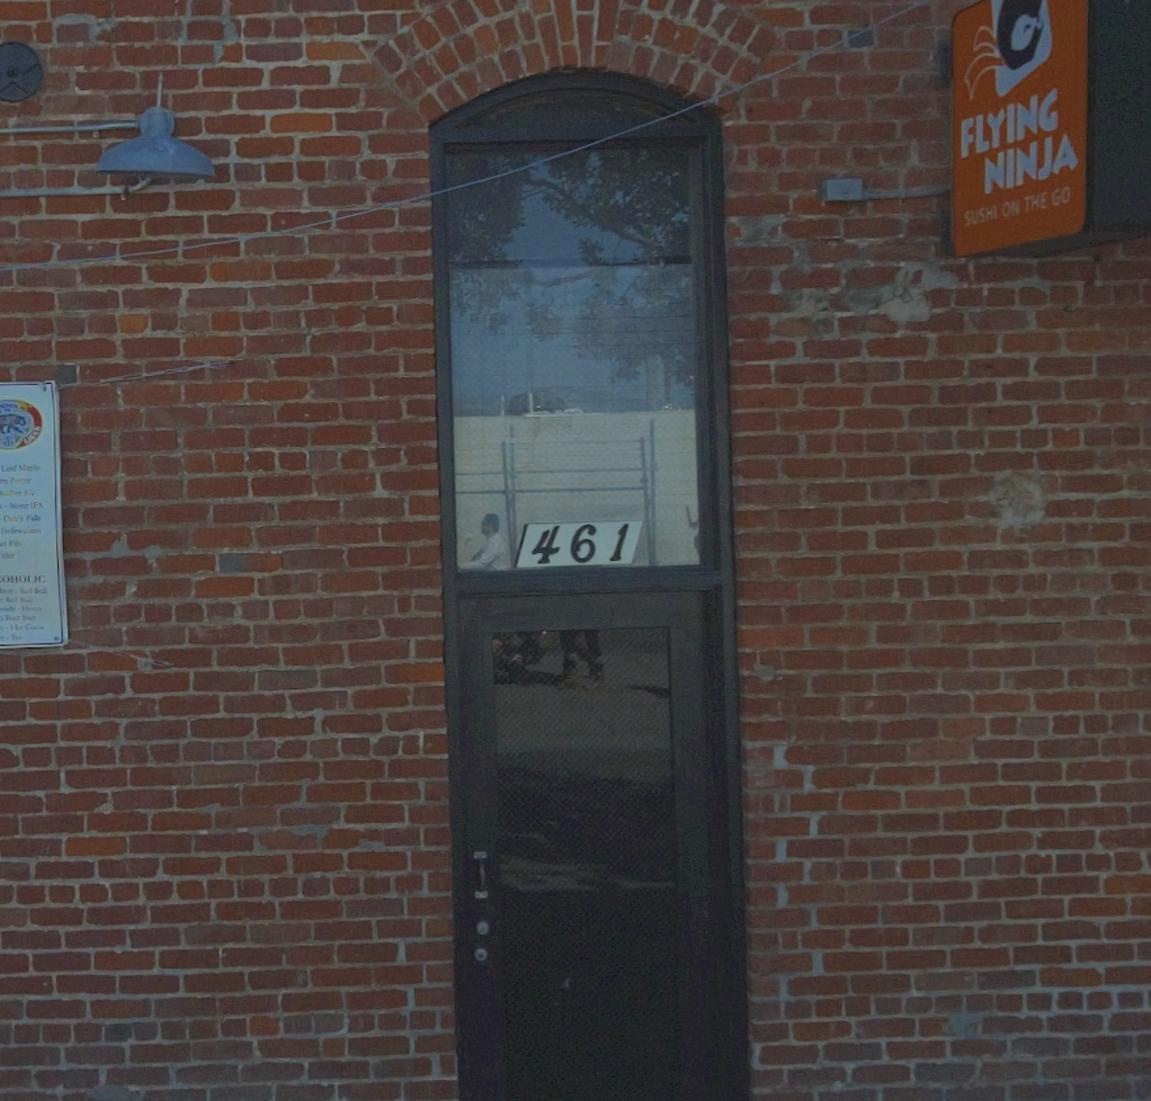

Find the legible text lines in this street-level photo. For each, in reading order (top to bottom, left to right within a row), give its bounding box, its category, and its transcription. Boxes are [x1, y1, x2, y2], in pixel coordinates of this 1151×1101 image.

[960, 85, 1059, 160] None: FLYING
[983, 129, 1081, 197] None: NINJA
[963, 184, 1072, 229] None: SUSHI ON THE GO
[28, 499, 44, 511] None: IPA
[527, 521, 631, 566] StreetNumber: 461
[1, 573, 46, 586] None: OHOLIC